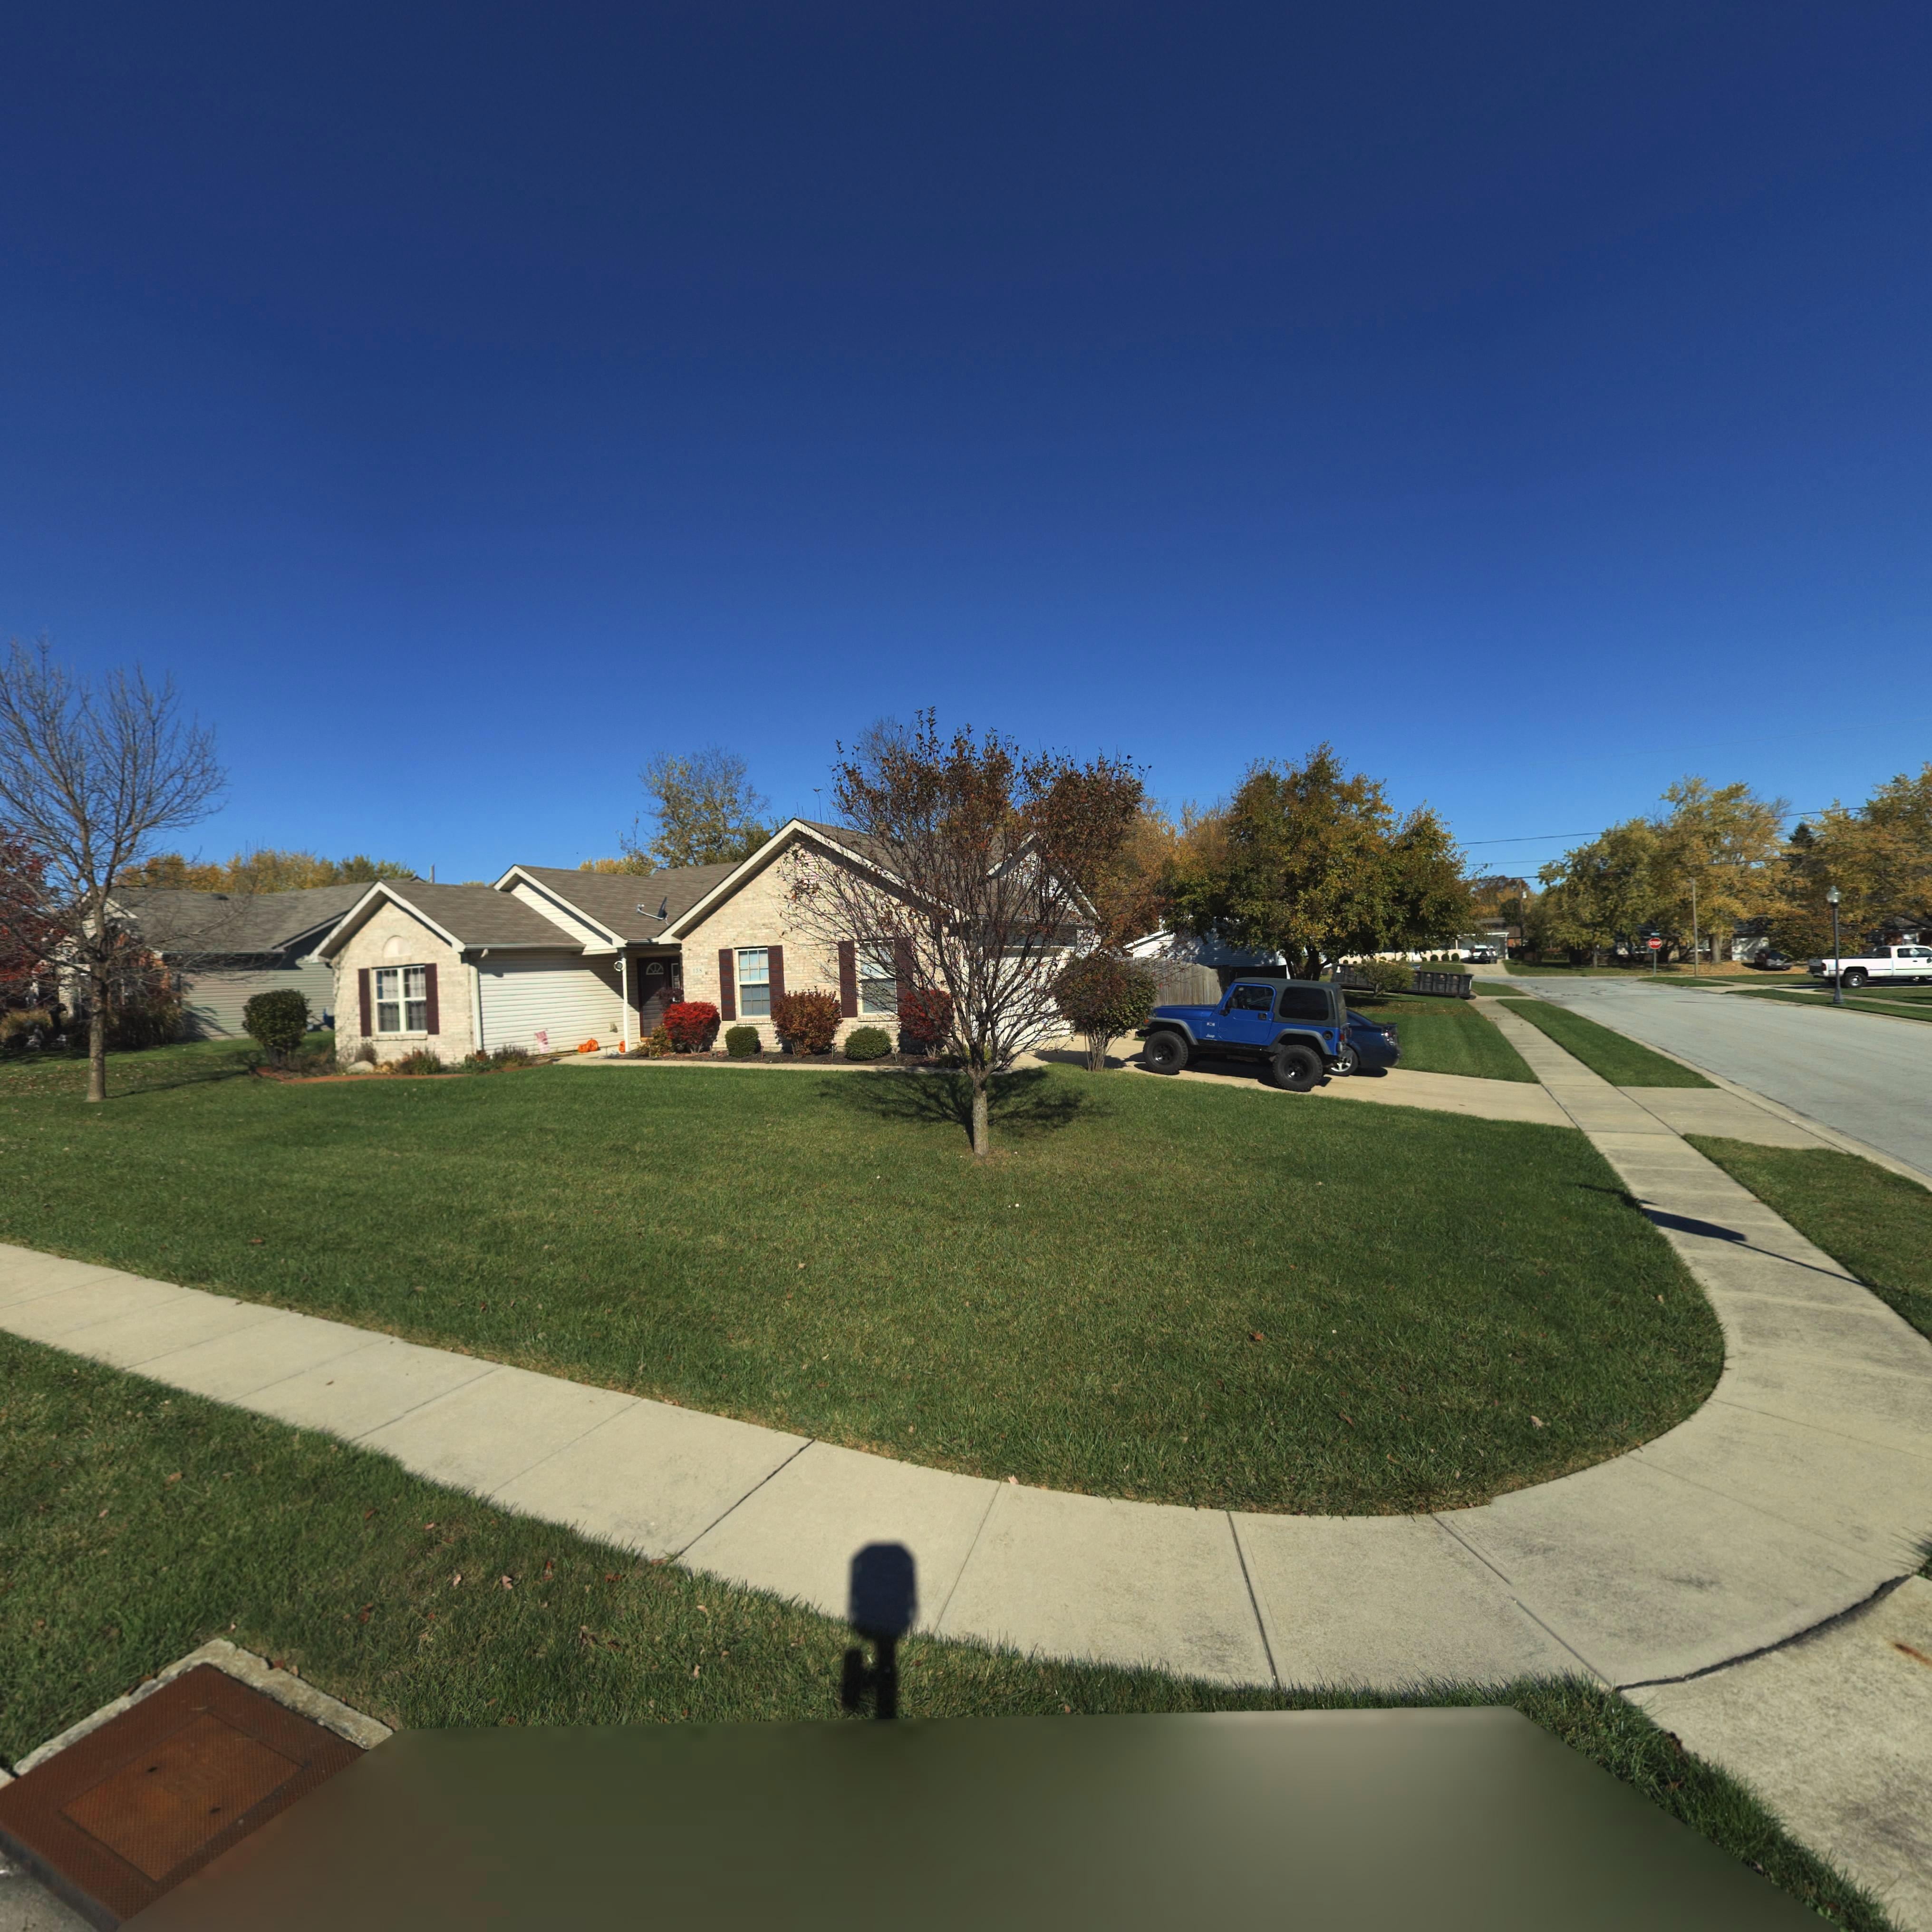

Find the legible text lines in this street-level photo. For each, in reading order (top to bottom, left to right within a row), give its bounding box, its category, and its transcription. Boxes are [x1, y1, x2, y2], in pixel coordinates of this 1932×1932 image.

[693, 967, 703, 974] StreetNumber: 138